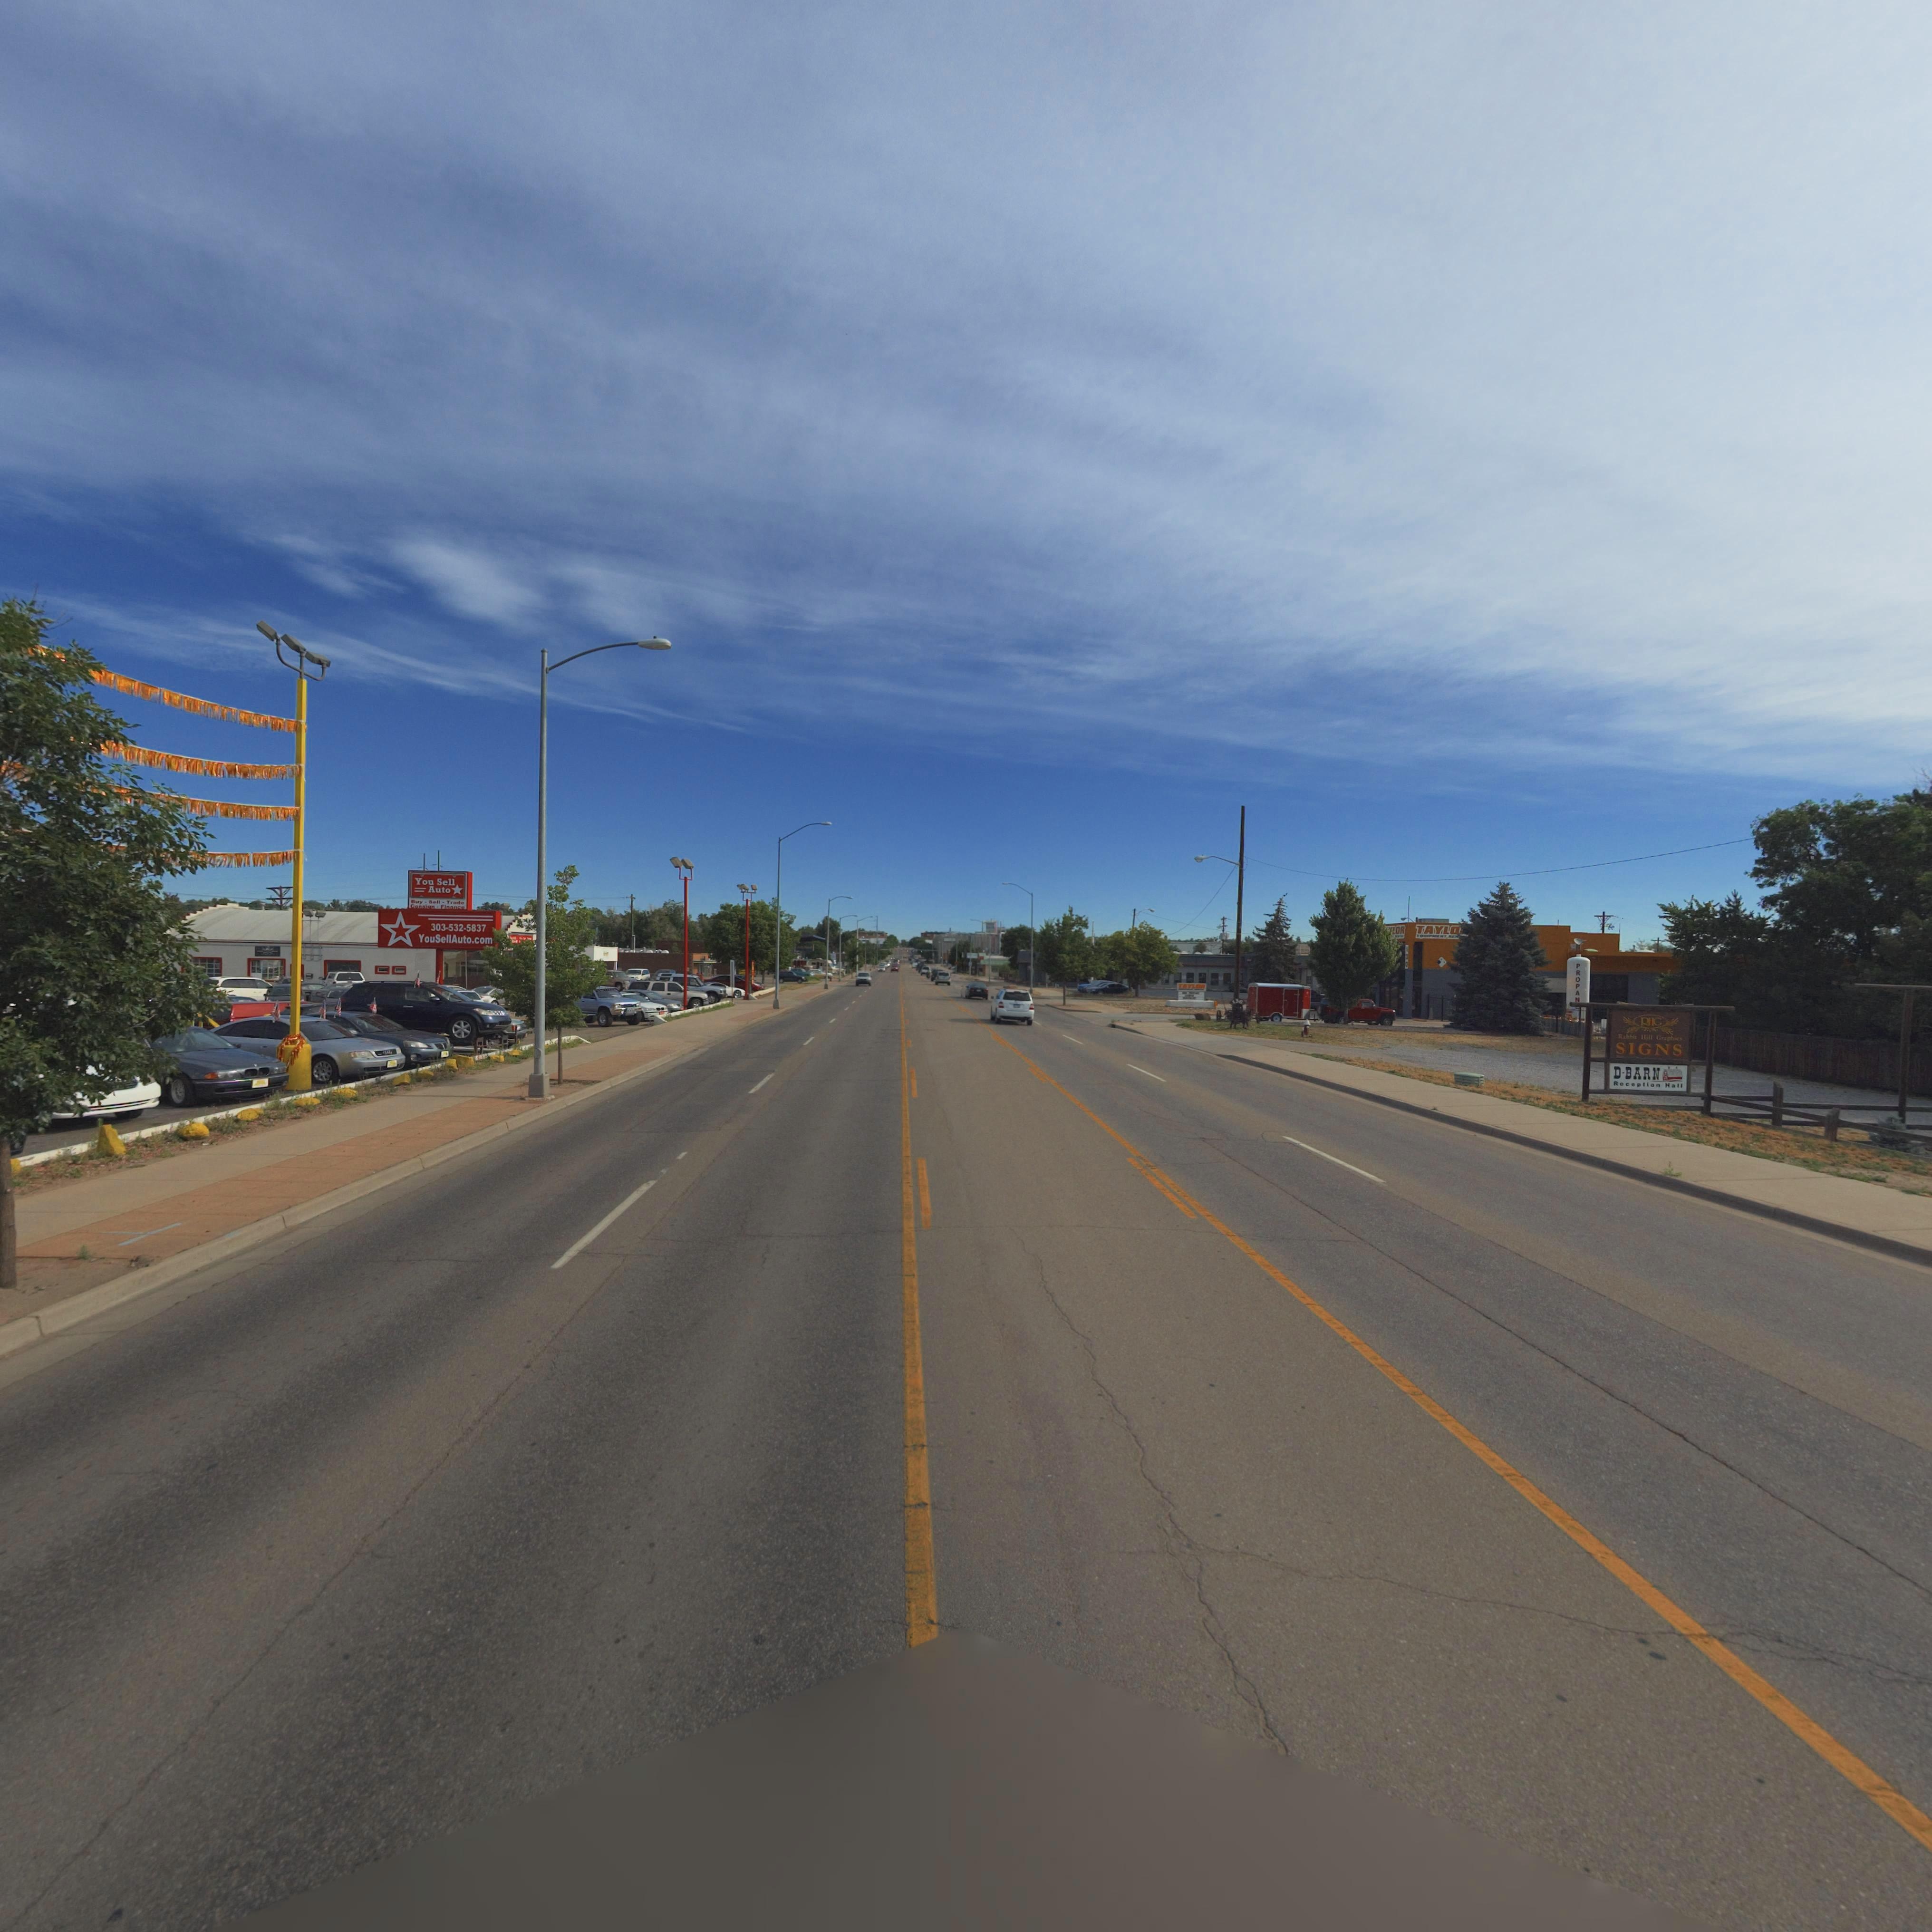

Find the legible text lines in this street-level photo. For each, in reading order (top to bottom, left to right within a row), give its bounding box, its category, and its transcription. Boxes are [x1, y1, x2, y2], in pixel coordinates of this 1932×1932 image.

[415, 878, 455, 886] BusinessName: You Sell
[428, 886, 451, 893] BusinessName: Auto
[1392, 926, 1405, 934] BusinessName: LOR
[1416, 925, 1459, 934] BusinessName: TAYLO
[1416, 934, 1458, 938] BusinessName: EQ**P***T REN
[1405, 947, 1408, 967] StreetNumber: 1*0
[1178, 983, 1205, 988] BusinessName: T*YL**
[1641, 1016, 1662, 1026] BusinessName: RHC
[1618, 1034, 1682, 1042] BusinessName: R*bb*t H*ll Grap**cs
[1613, 1066, 1660, 1080] BusinessName: D-BARN
[1613, 1081, 1682, 1088] BusinessName: Reception Hall